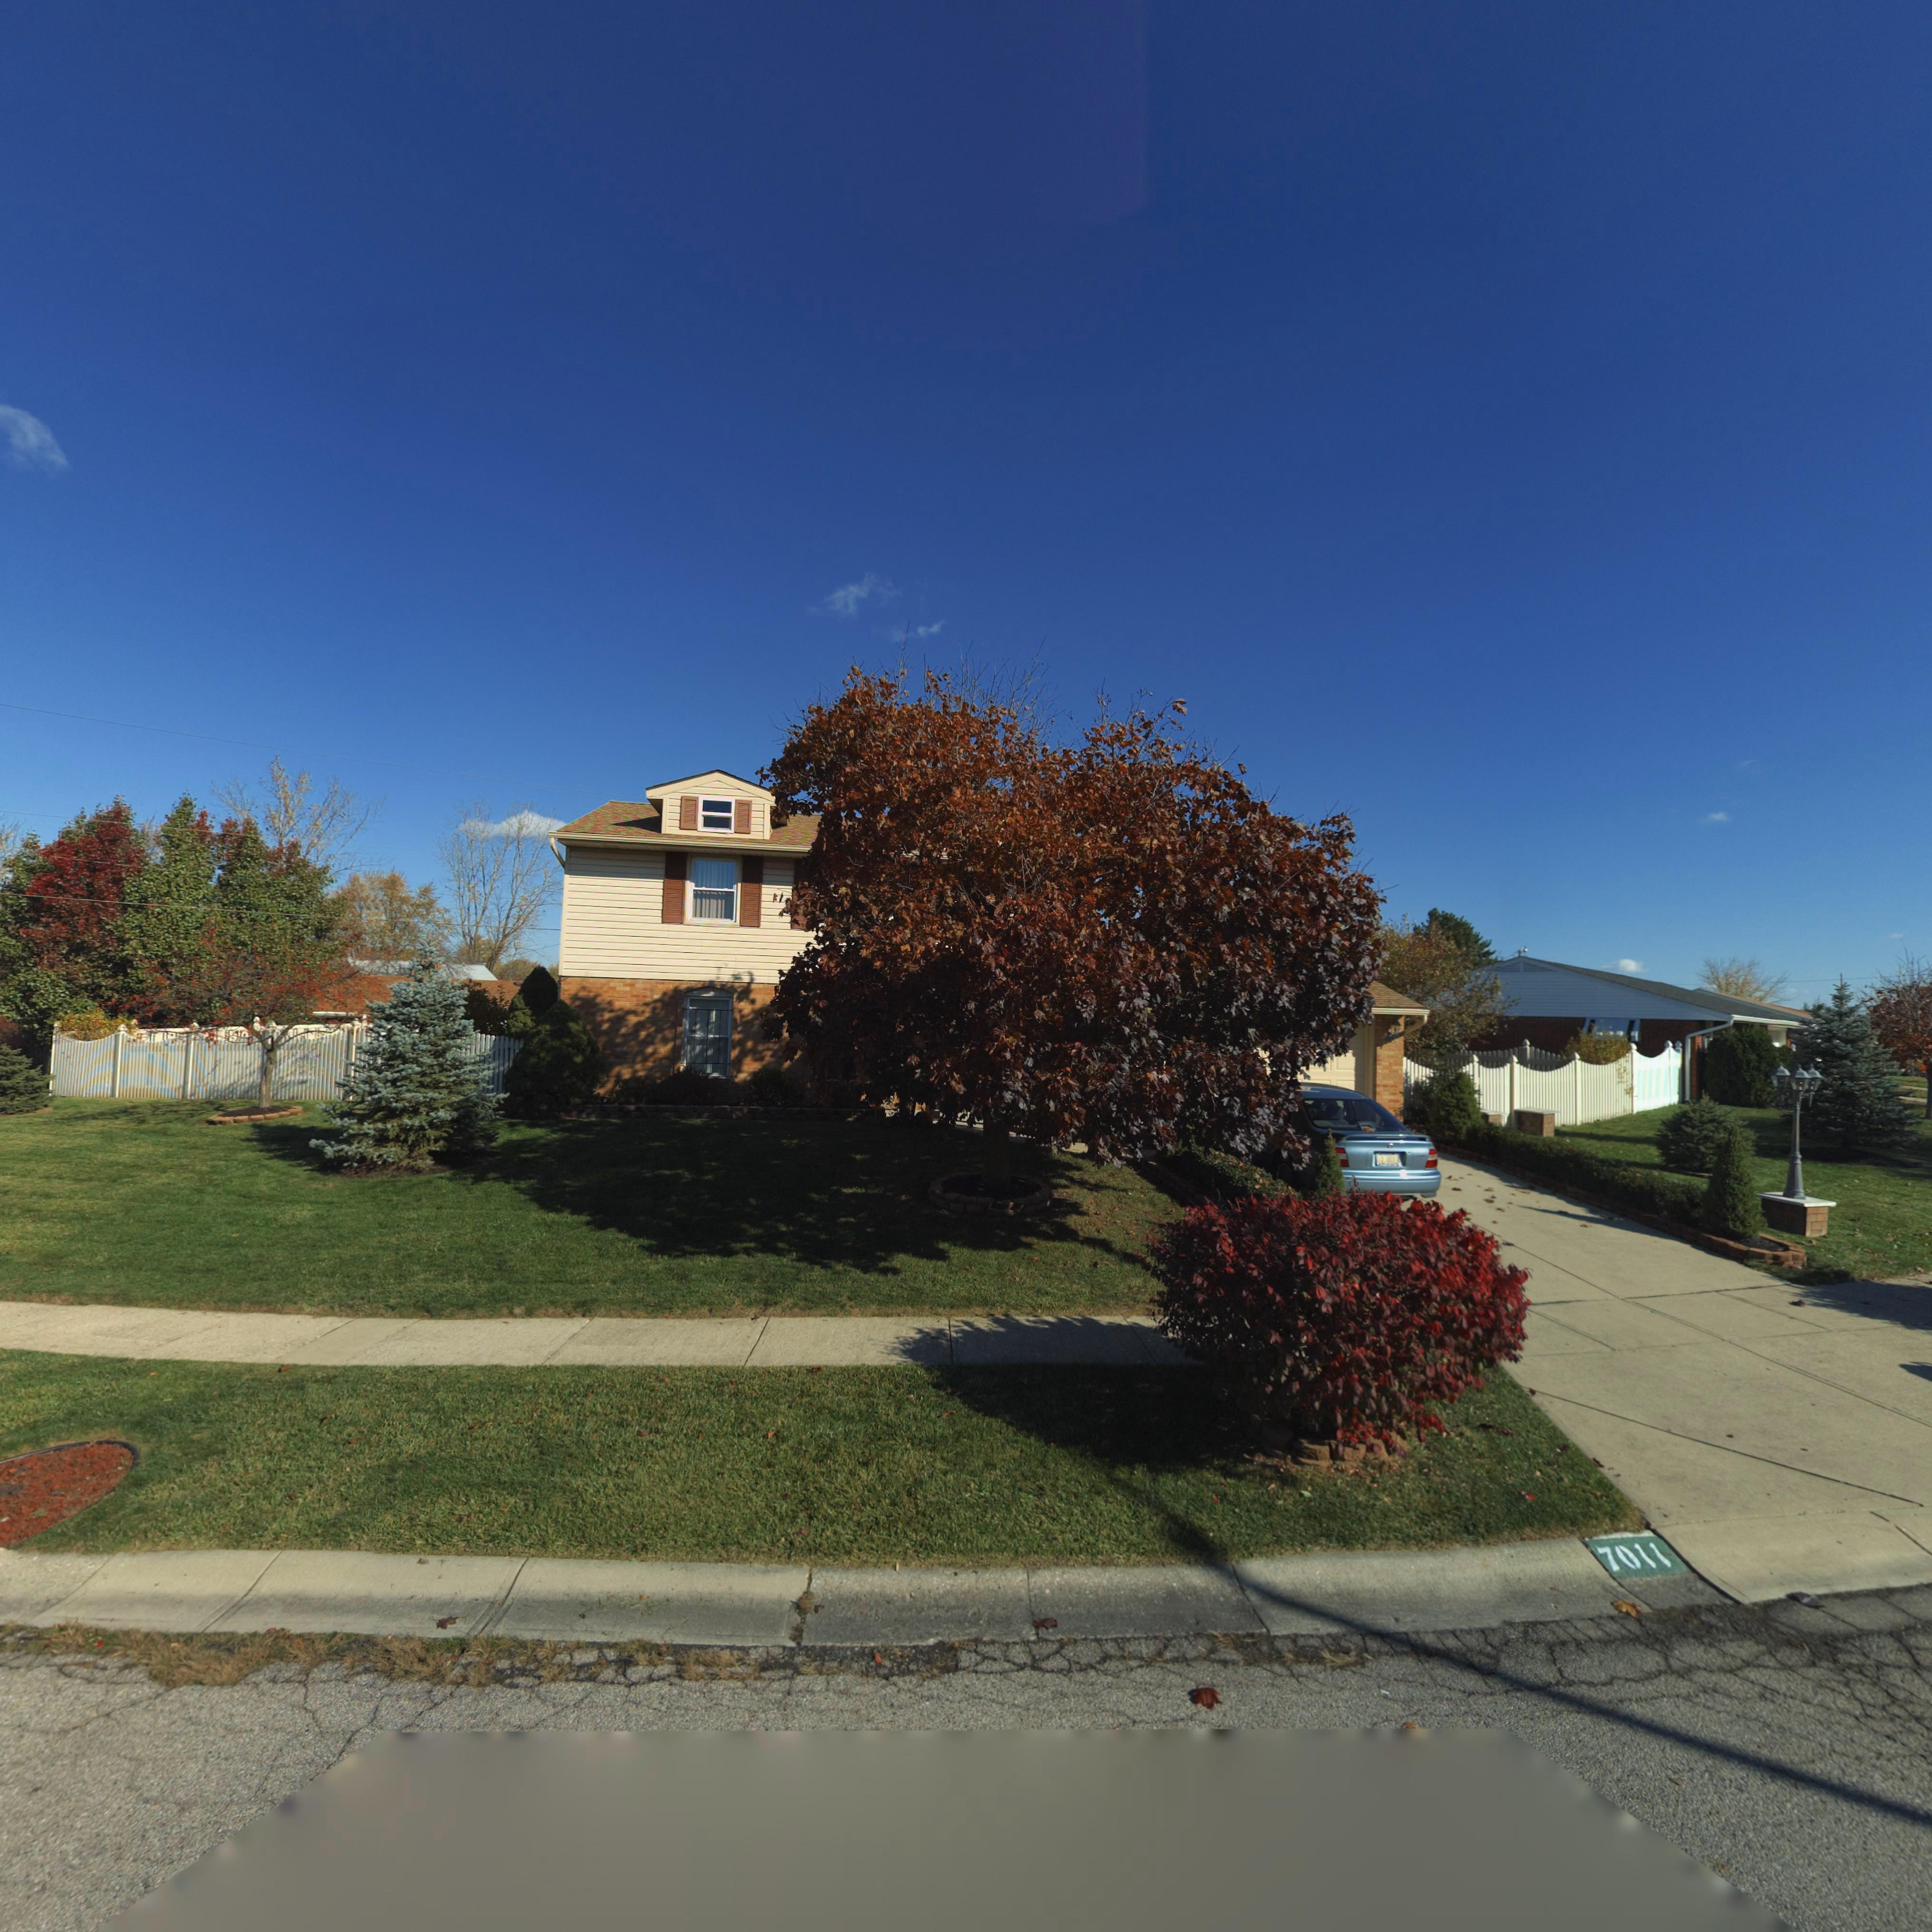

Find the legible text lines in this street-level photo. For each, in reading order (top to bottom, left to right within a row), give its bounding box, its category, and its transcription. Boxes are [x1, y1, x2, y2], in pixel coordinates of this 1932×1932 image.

[1593, 1541, 1677, 1573] StreetNumber: 7011